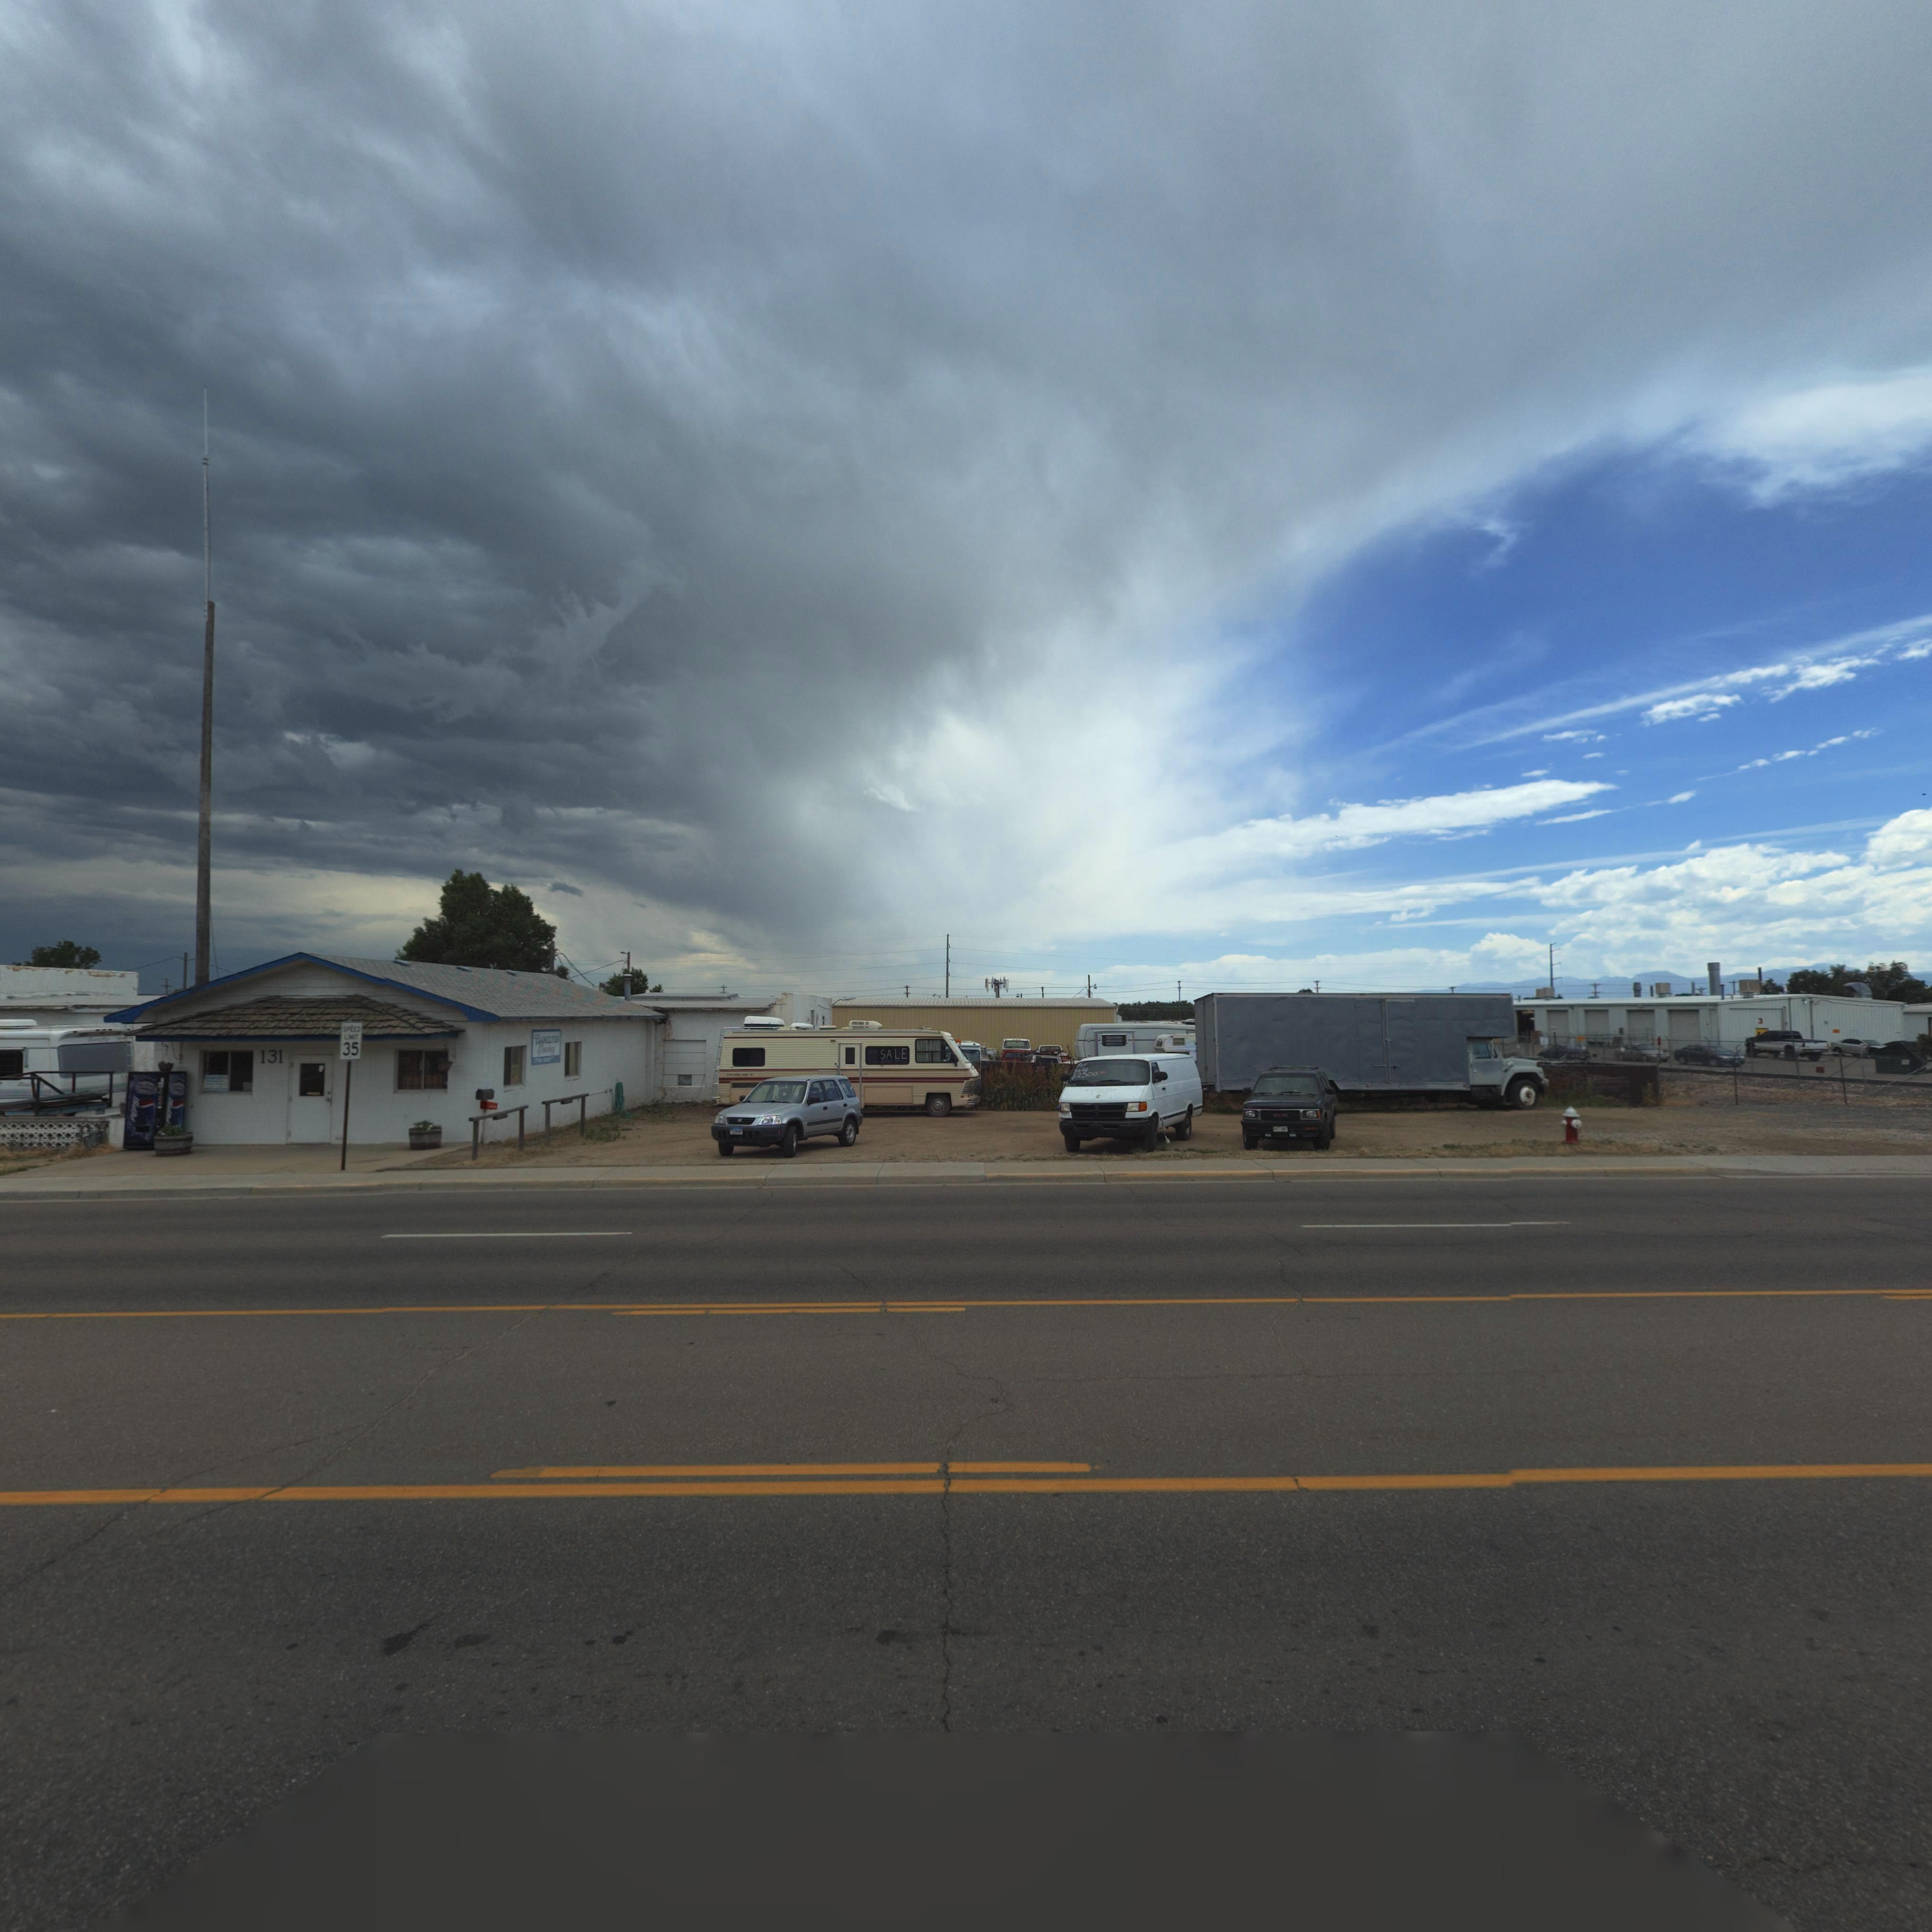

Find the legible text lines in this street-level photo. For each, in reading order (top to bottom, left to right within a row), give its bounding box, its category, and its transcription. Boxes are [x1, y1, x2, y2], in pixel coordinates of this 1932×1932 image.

[533, 1033, 560, 1044] BusinessName: HAMILTON
[260, 1048, 283, 1064] StreetNumber: 131
[537, 1043, 556, 1059] BusinessName: Towing